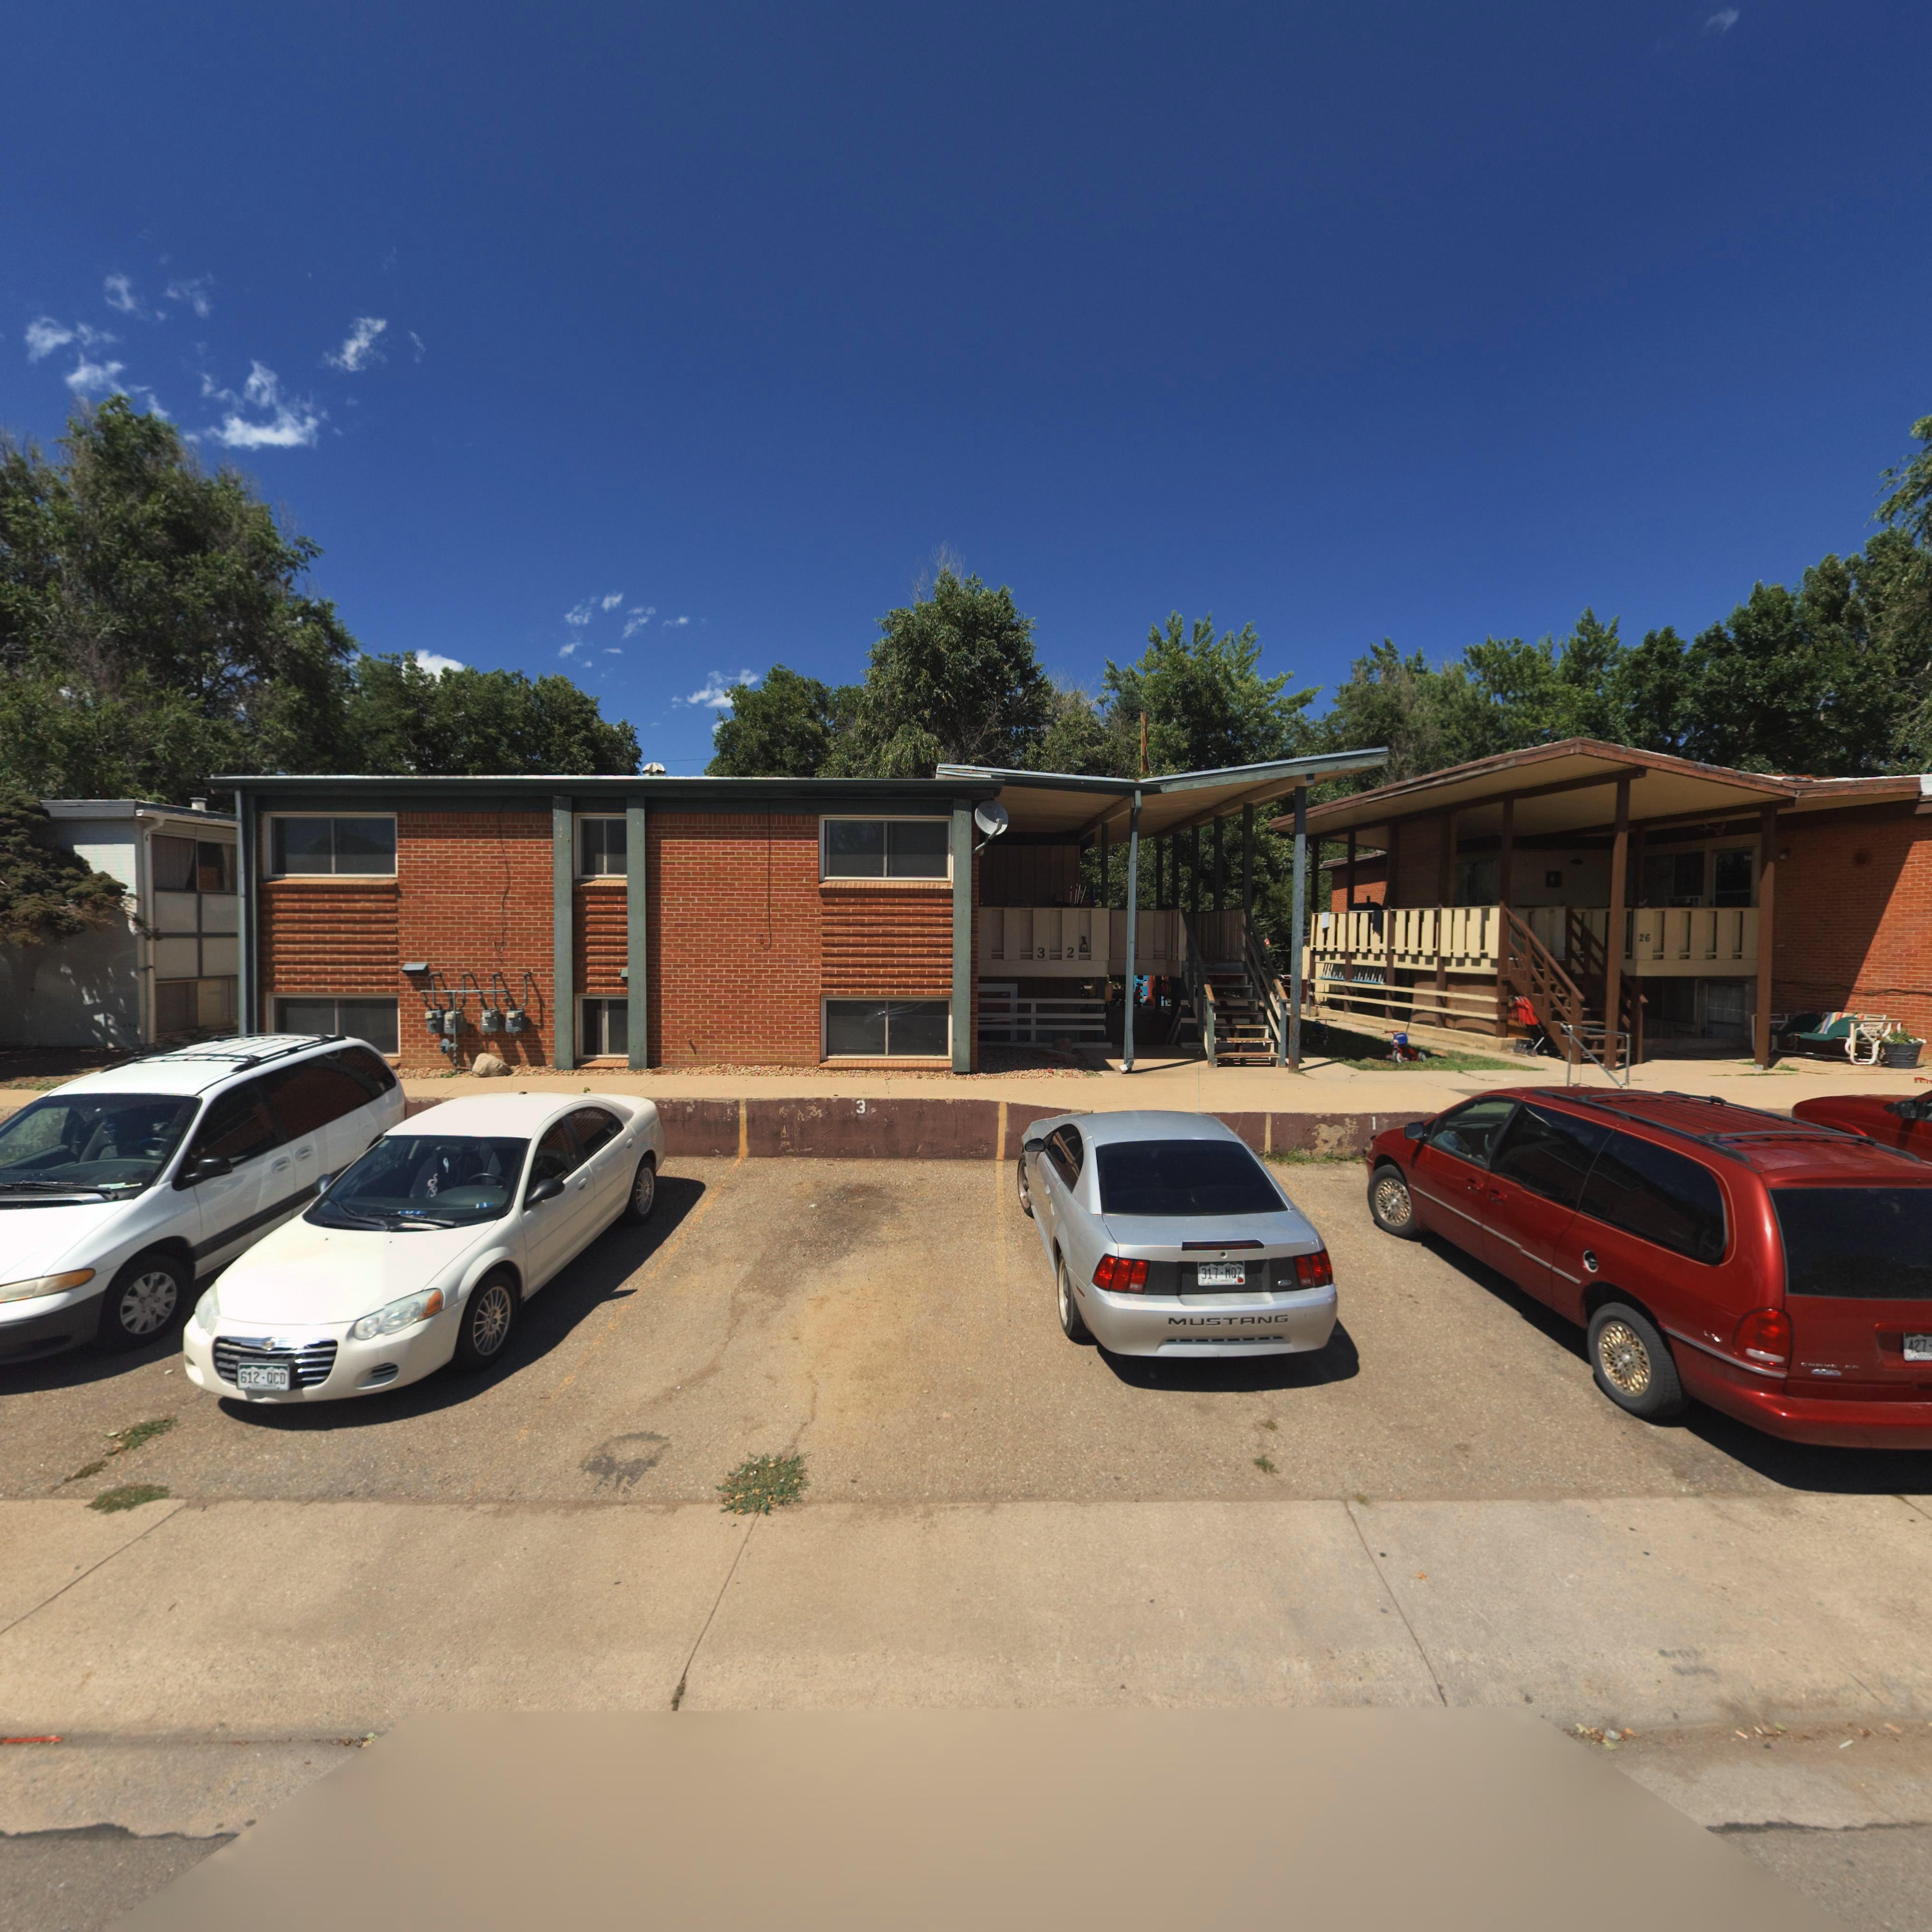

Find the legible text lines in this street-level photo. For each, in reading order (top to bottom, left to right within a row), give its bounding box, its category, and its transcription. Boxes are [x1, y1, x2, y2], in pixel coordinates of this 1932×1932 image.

[1639, 933, 1651, 942] StreetNumber: 26
[1037, 947, 1074, 958] StreetNumber: 3 2